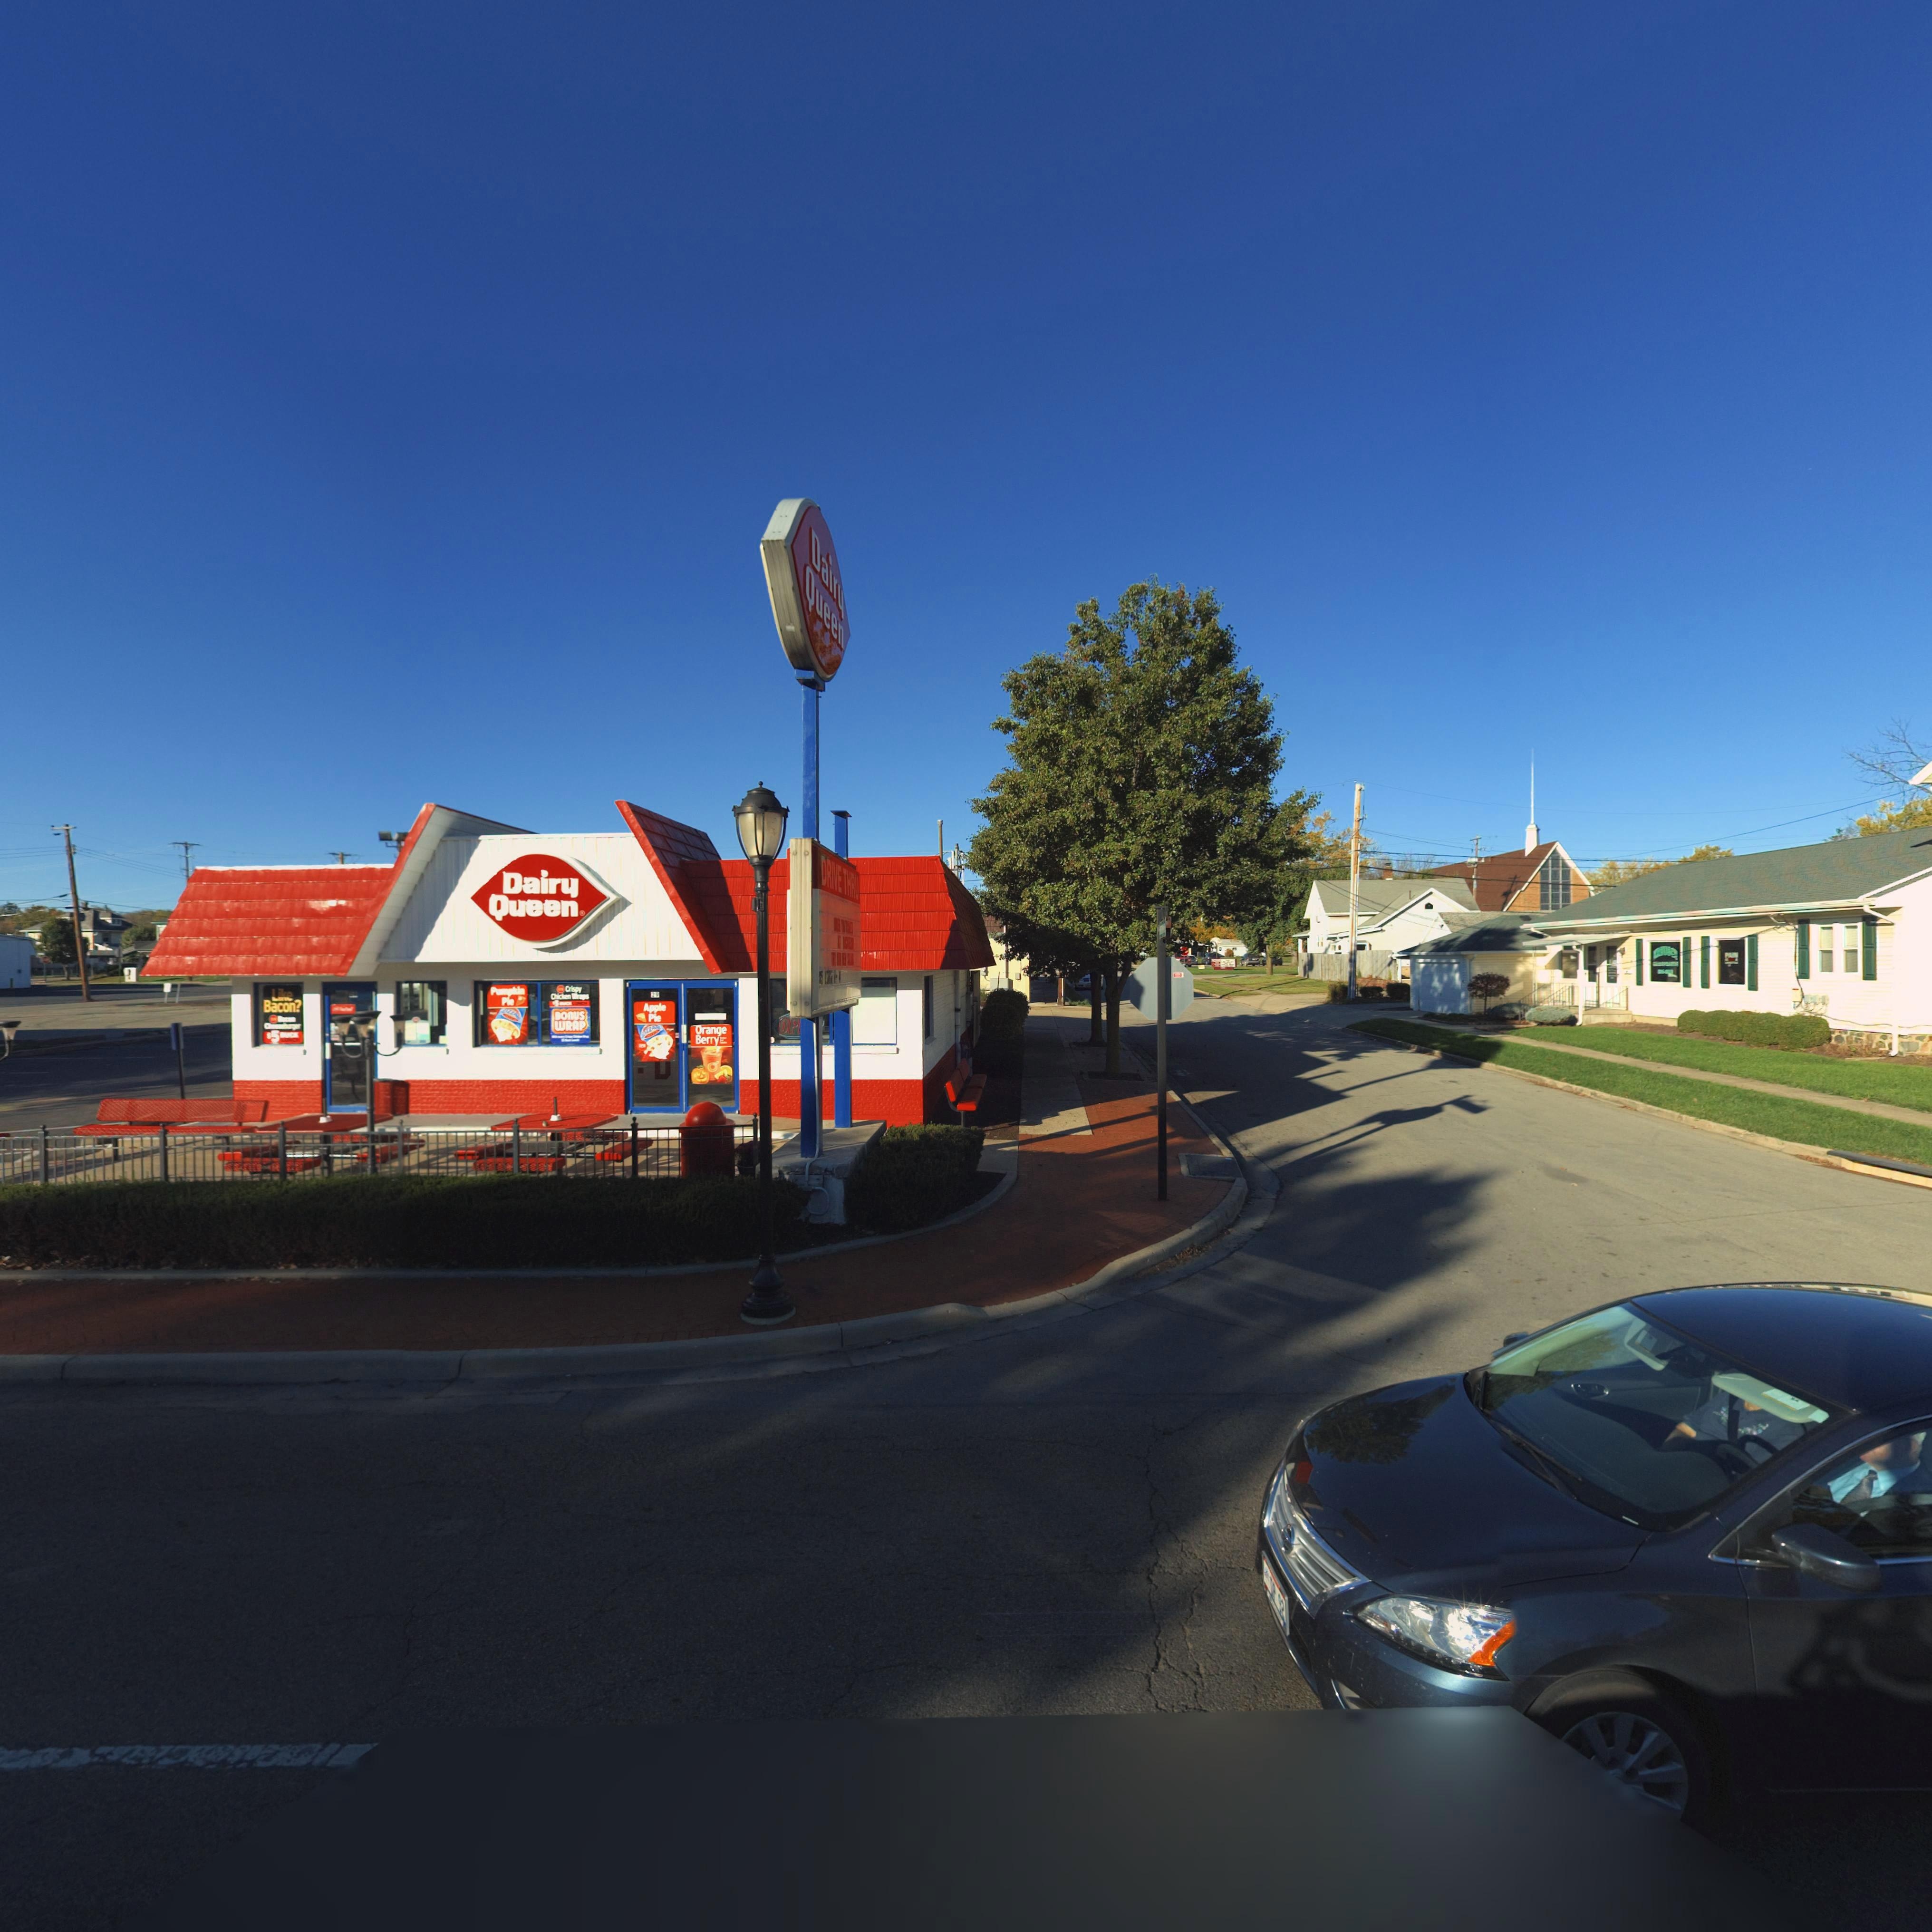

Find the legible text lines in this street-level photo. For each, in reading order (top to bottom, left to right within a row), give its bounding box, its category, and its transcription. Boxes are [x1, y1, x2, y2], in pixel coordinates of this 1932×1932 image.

[811, 527, 847, 627] BusinessName: Dairy
[802, 561, 846, 653] BusinessName: Queen
[500, 869, 580, 898] BusinessName: Dairy
[820, 853, 860, 903] None: DRIVE THRU
[485, 891, 579, 921] BusinessName: Queen
[261, 998, 302, 1014] None: Bacon?
[270, 986, 294, 1002] None: Like
[349, 991, 358, 997] StreetNumber: 29
[489, 985, 525, 996] None: P******
[500, 997, 515, 1005] None: Pie
[549, 992, 590, 1000] None: C*icken W**gs
[565, 985, 582, 993] None: Crispy
[643, 1002, 666, 1013] None: Apple
[651, 991, 659, 998] StreetNumber: 29
[552, 1009, 586, 1020] None: BONUS
[647, 1013, 661, 1022] None: Pie
[270, 1028, 279, 1043] None: 5
[552, 1020, 587, 1032] None: WRAP
[695, 1034, 720, 1046] None: Berry
[694, 1025, 727, 1036] None: Orange